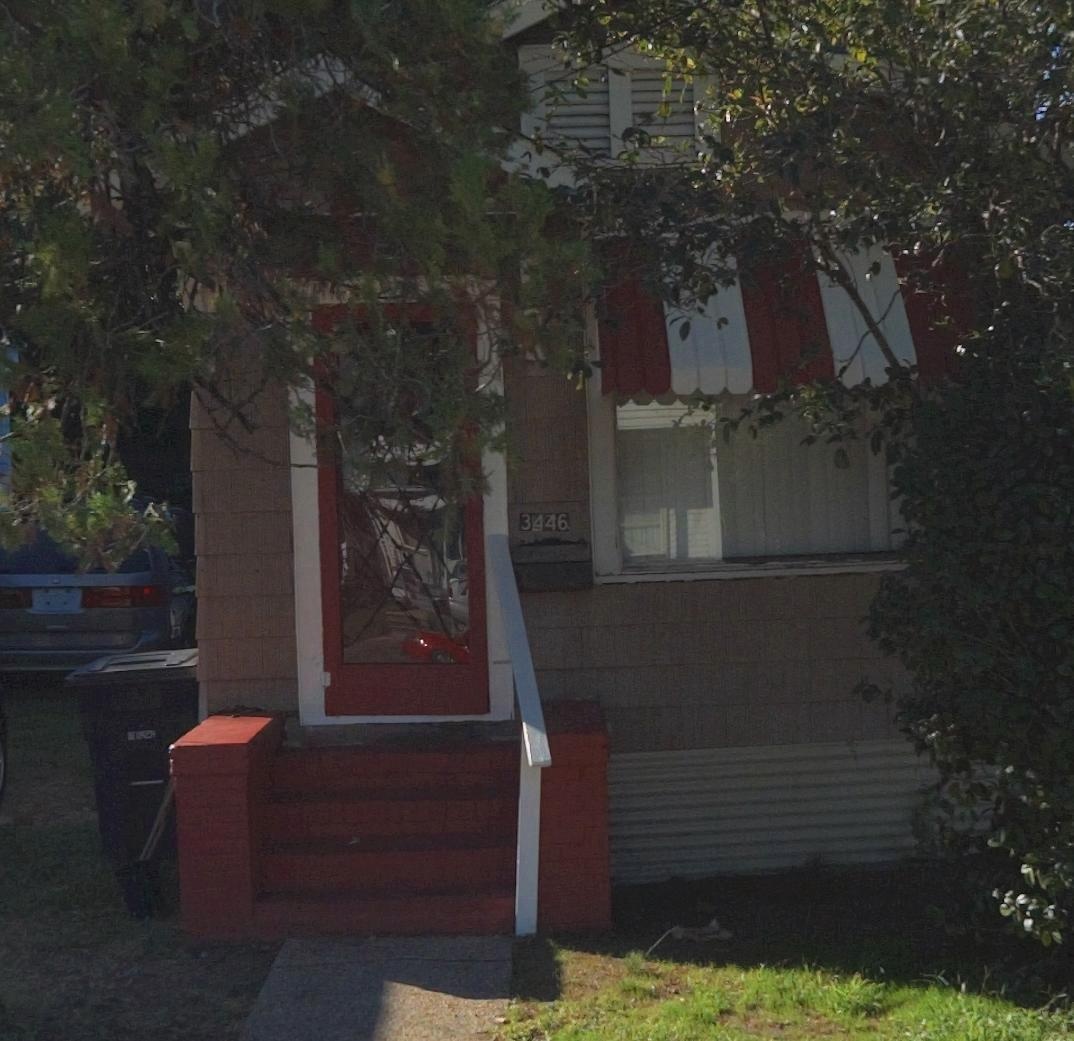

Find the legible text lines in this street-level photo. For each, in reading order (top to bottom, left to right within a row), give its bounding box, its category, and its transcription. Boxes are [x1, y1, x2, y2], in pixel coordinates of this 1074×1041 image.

[519, 512, 569, 532] StreetNumber: 3446